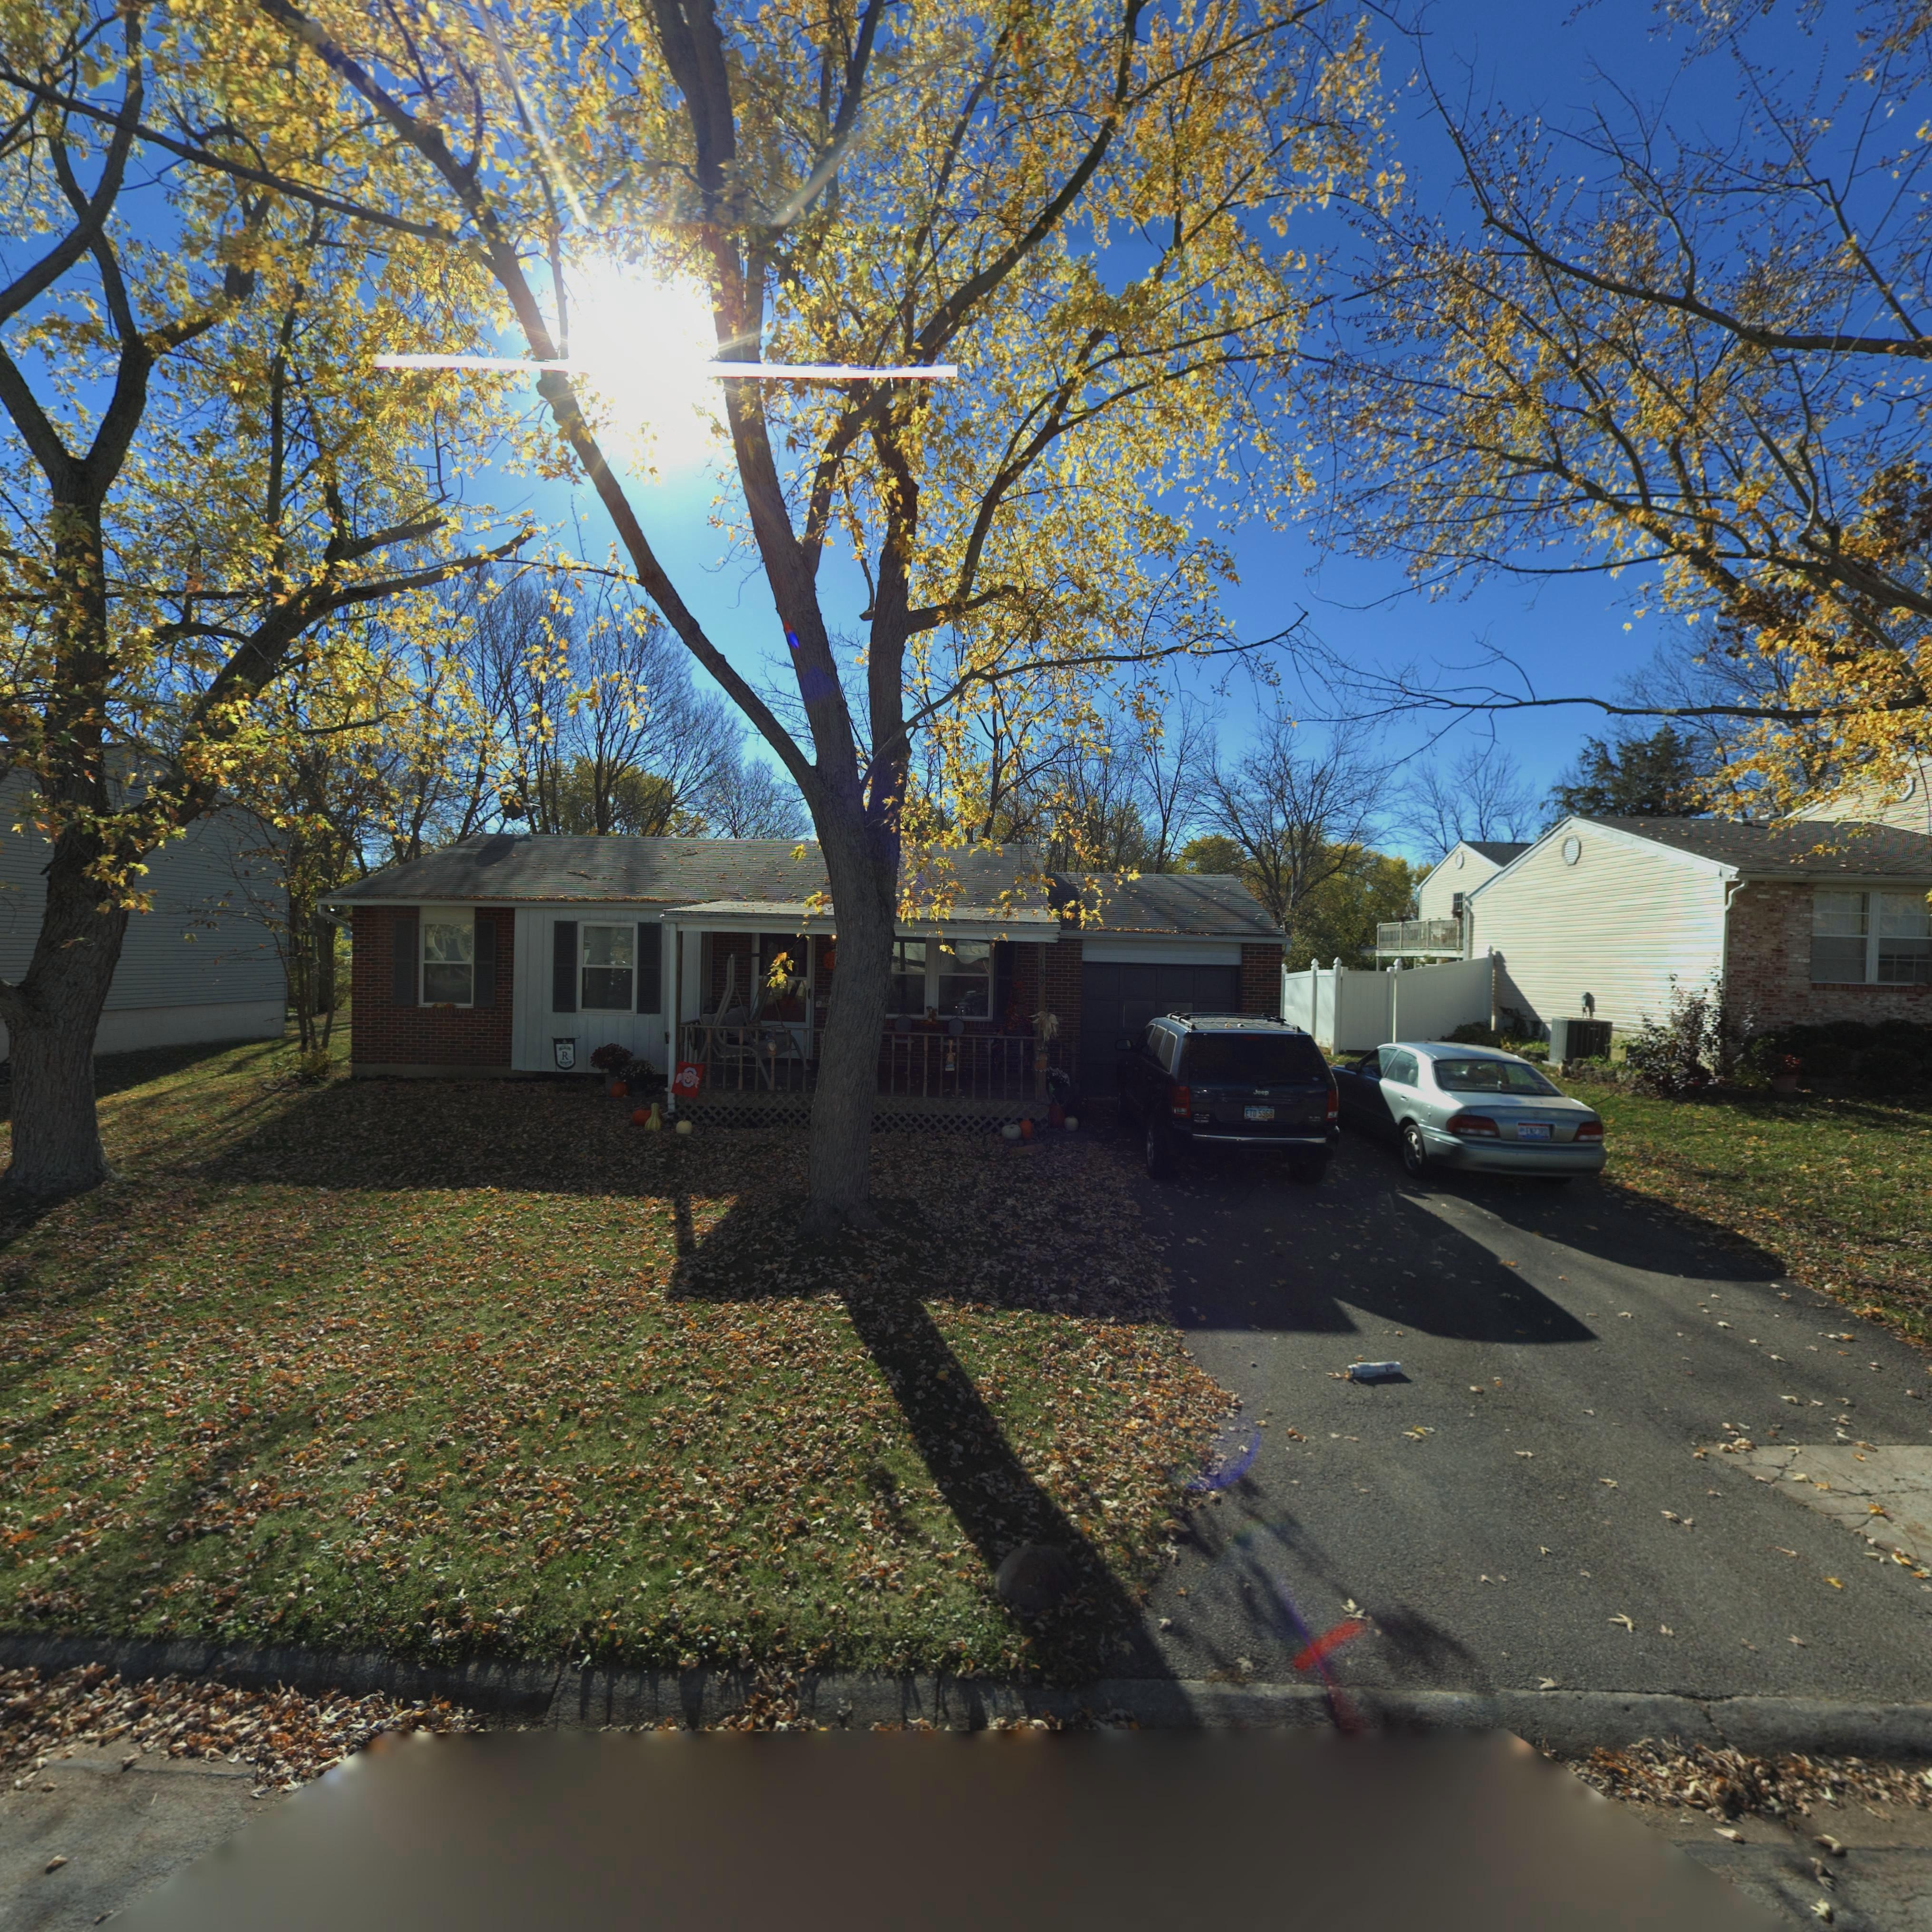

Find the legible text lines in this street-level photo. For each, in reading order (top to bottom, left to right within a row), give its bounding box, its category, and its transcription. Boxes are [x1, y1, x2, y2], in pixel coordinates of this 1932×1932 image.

[1038, 957, 1046, 987] StreetNumber: 189